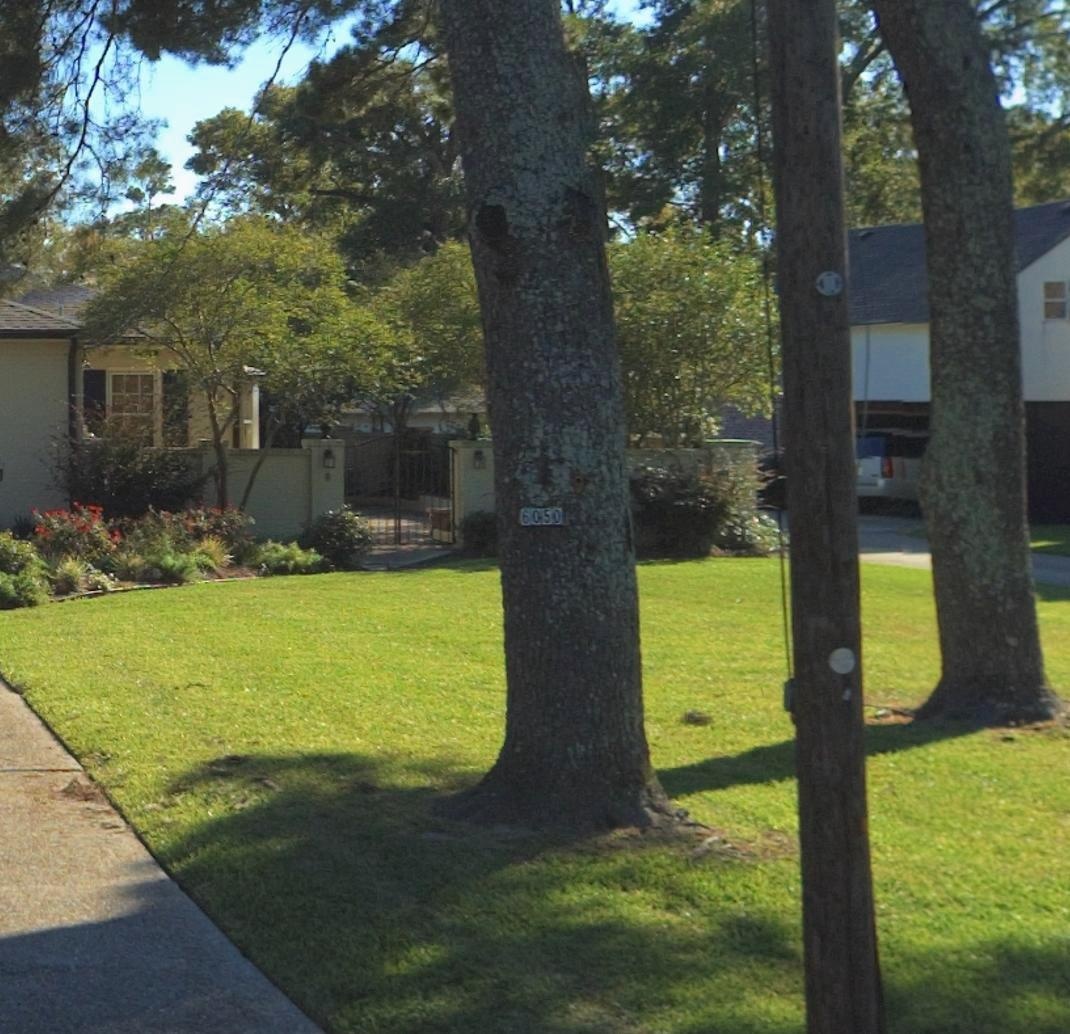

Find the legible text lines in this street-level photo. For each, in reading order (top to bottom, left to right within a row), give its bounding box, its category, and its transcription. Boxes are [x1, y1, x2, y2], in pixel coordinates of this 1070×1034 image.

[521, 508, 562, 525] StreetNumber: 6050